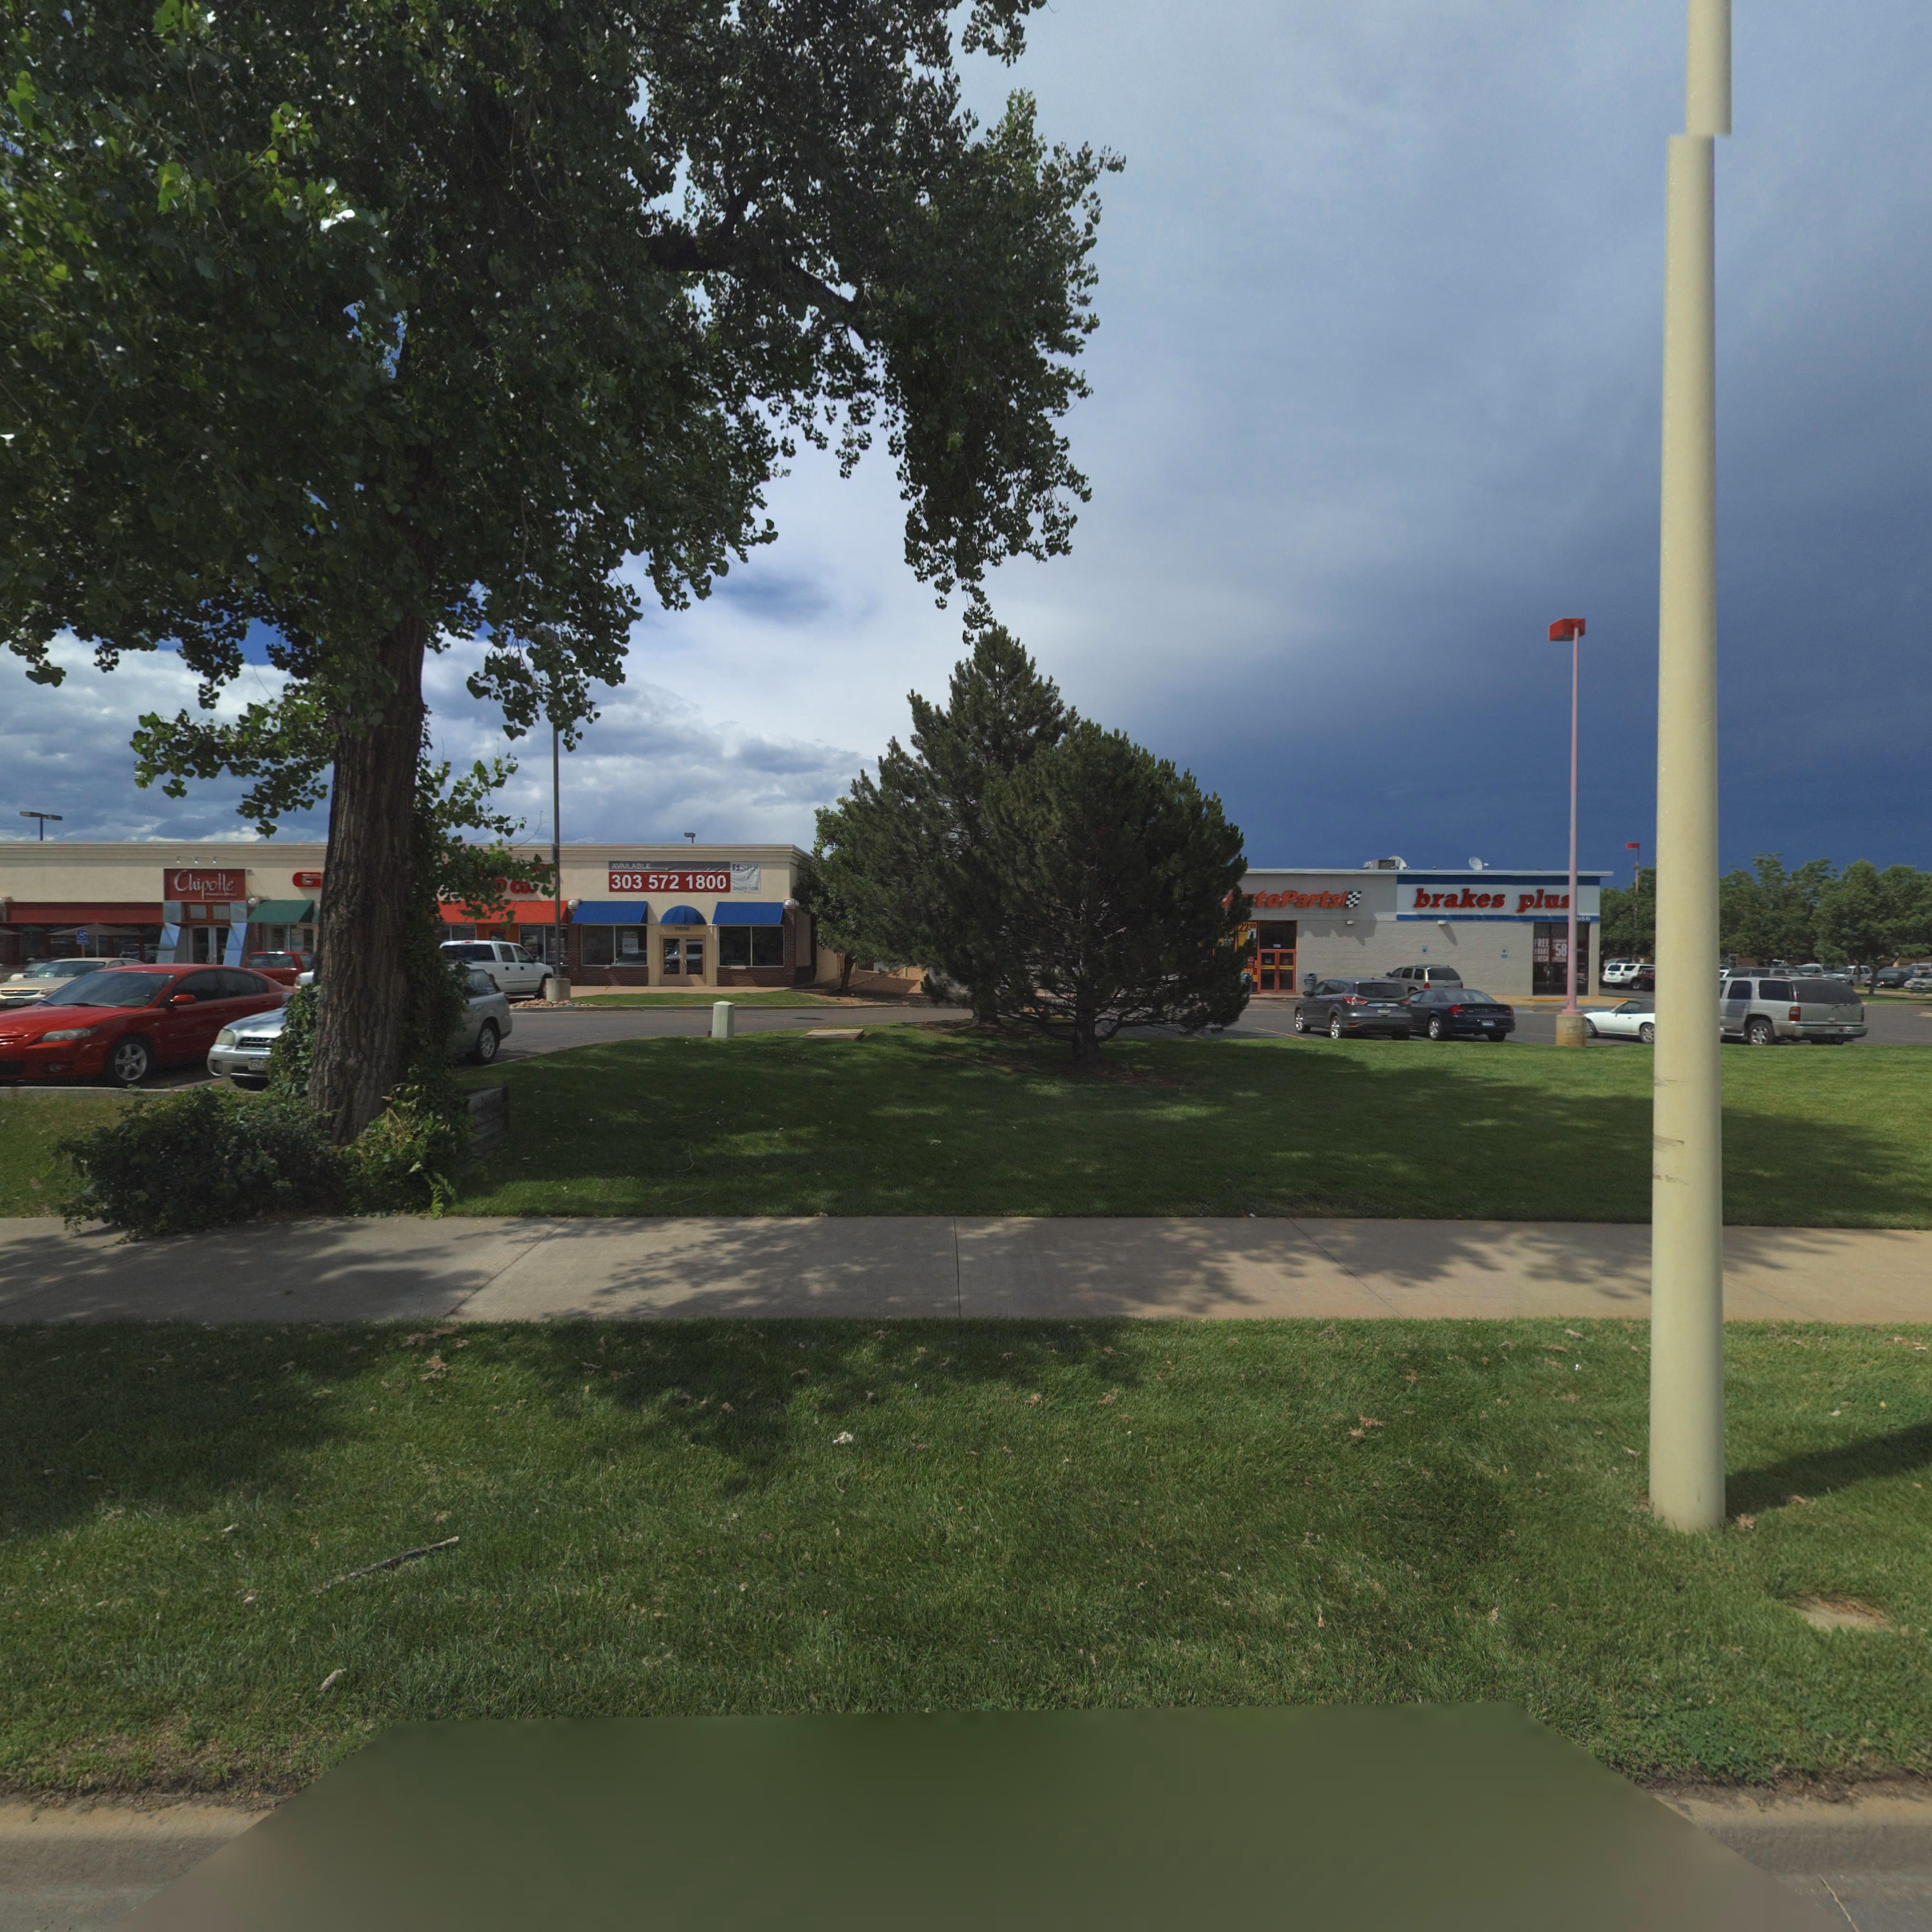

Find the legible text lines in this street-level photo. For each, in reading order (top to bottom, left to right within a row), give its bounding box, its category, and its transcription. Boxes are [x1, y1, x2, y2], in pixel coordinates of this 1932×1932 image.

[292, 871, 321, 889] BusinessName: G
[173, 868, 234, 900] BusinessName: Chipotle
[509, 879, 535, 894] BusinessName: Co.
[205, 892, 236, 896] BusinessName: MEXICAN GRILL
[1255, 889, 1341, 908] BusinessName: to Parts
[1413, 887, 1570, 913] BusinessName: brakes plu*
[1576, 916, 1591, 921] StreetNumber: 050
[297, 924, 310, 929] StreetNumber: 1100
[309, 924, 314, 929] SecondaryUnitDesignator: C
[675, 926, 686, 931] StreetNumber: 1100
[686, 926, 690, 931] SecondaryUnitDesignator: E
[1273, 943, 1281, 948] StreetNumber: 1050